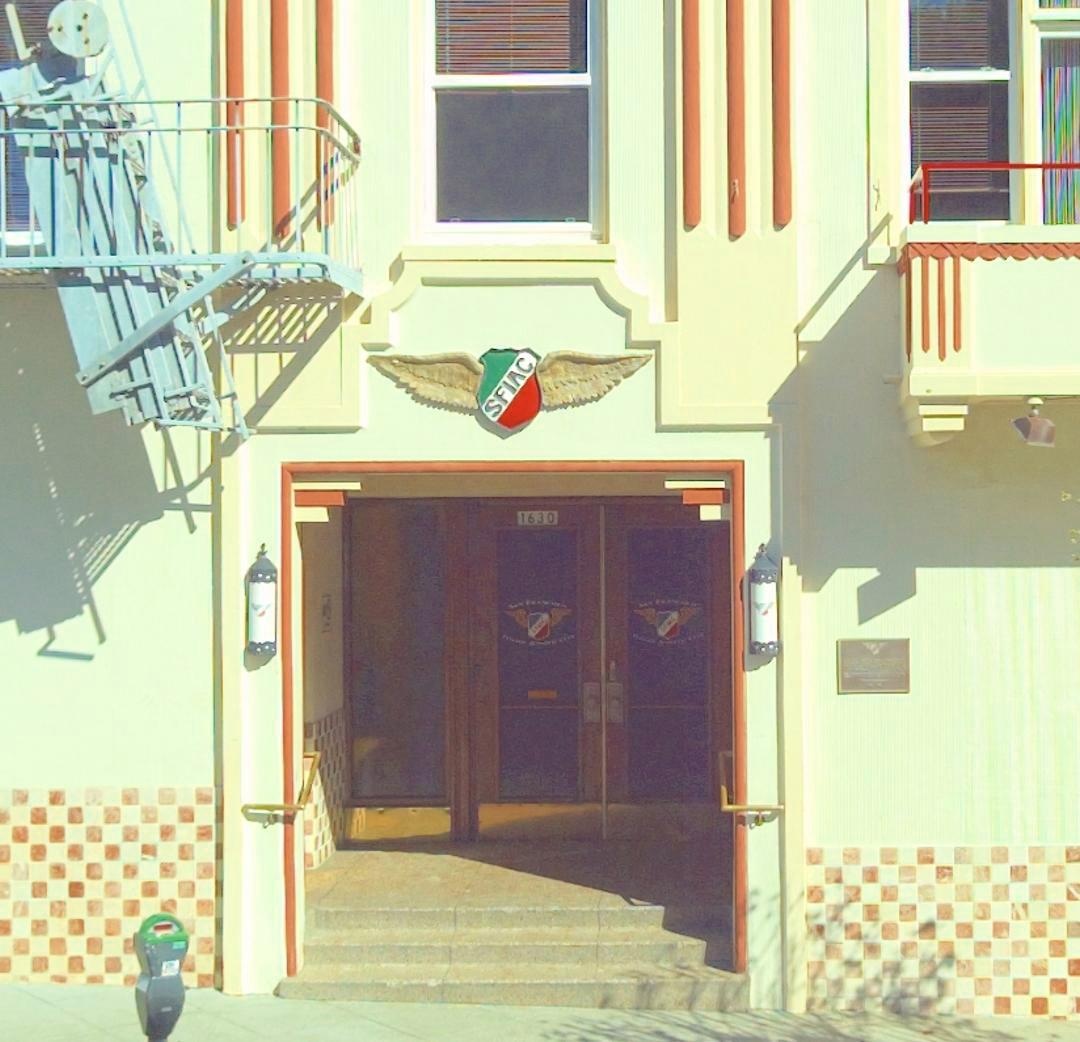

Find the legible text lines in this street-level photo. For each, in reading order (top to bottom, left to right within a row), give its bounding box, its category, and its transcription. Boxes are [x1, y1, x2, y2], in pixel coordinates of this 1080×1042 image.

[482, 356, 535, 420] None: SFIAC
[519, 511, 556, 525] StreetNumber: 1630